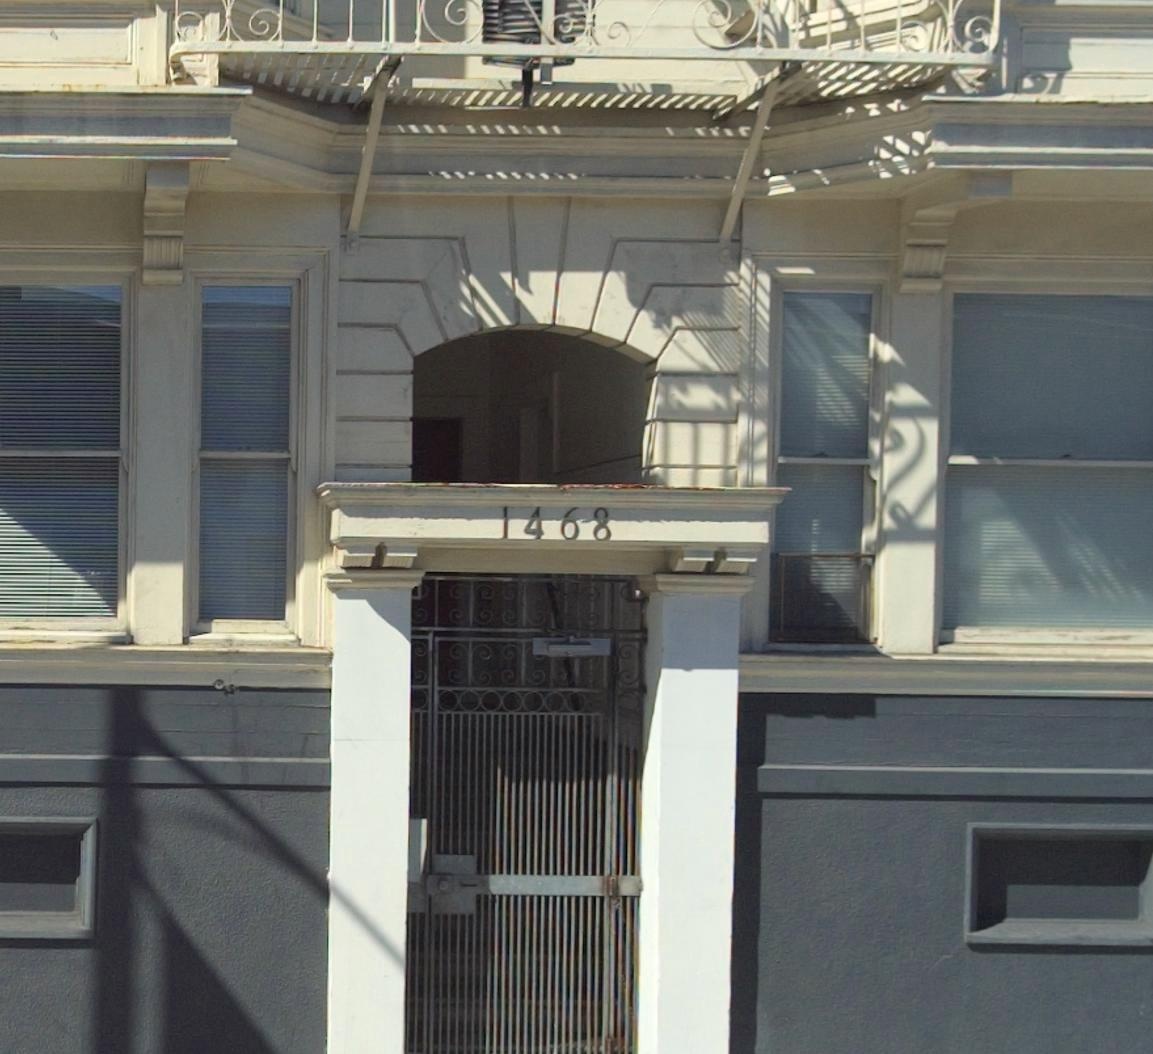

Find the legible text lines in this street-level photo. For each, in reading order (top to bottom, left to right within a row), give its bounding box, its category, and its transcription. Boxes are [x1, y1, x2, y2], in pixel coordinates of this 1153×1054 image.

[498, 503, 614, 544] StreetNumber: 1468